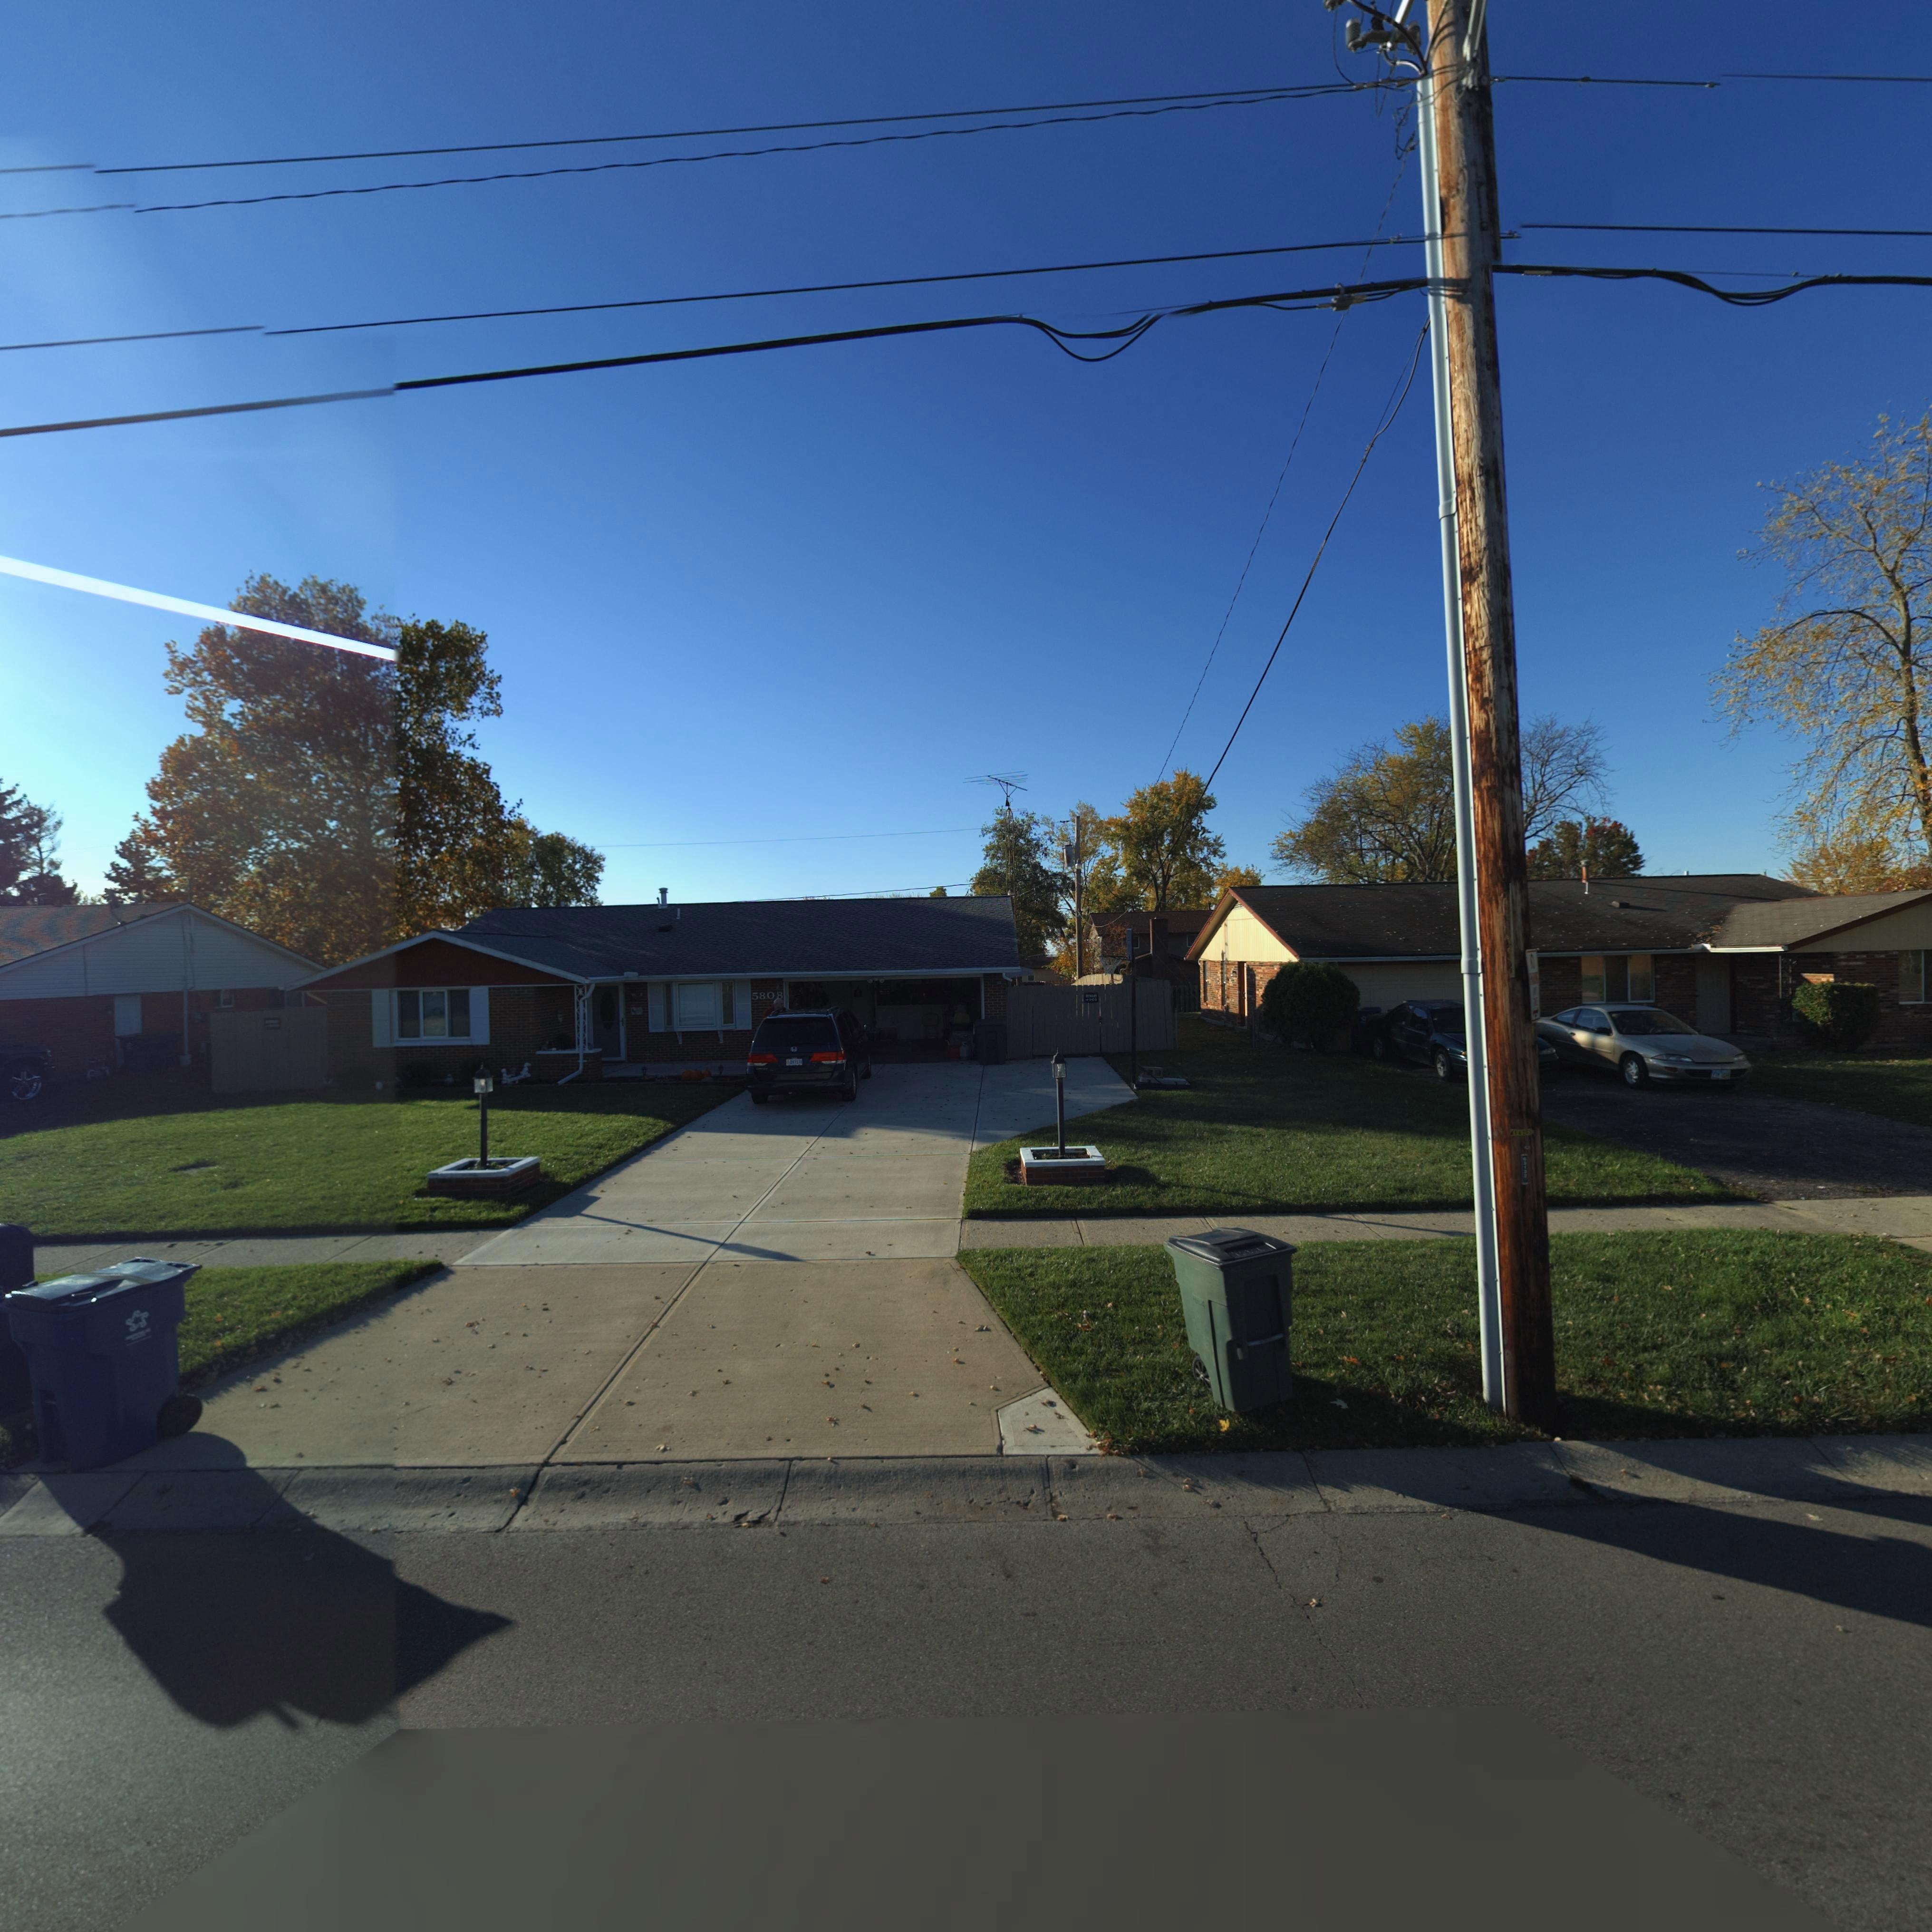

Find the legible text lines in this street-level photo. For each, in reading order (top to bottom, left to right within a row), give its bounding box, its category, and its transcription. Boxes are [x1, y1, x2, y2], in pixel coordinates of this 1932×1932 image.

[750, 991, 784, 1002] StreetNumber: 5808